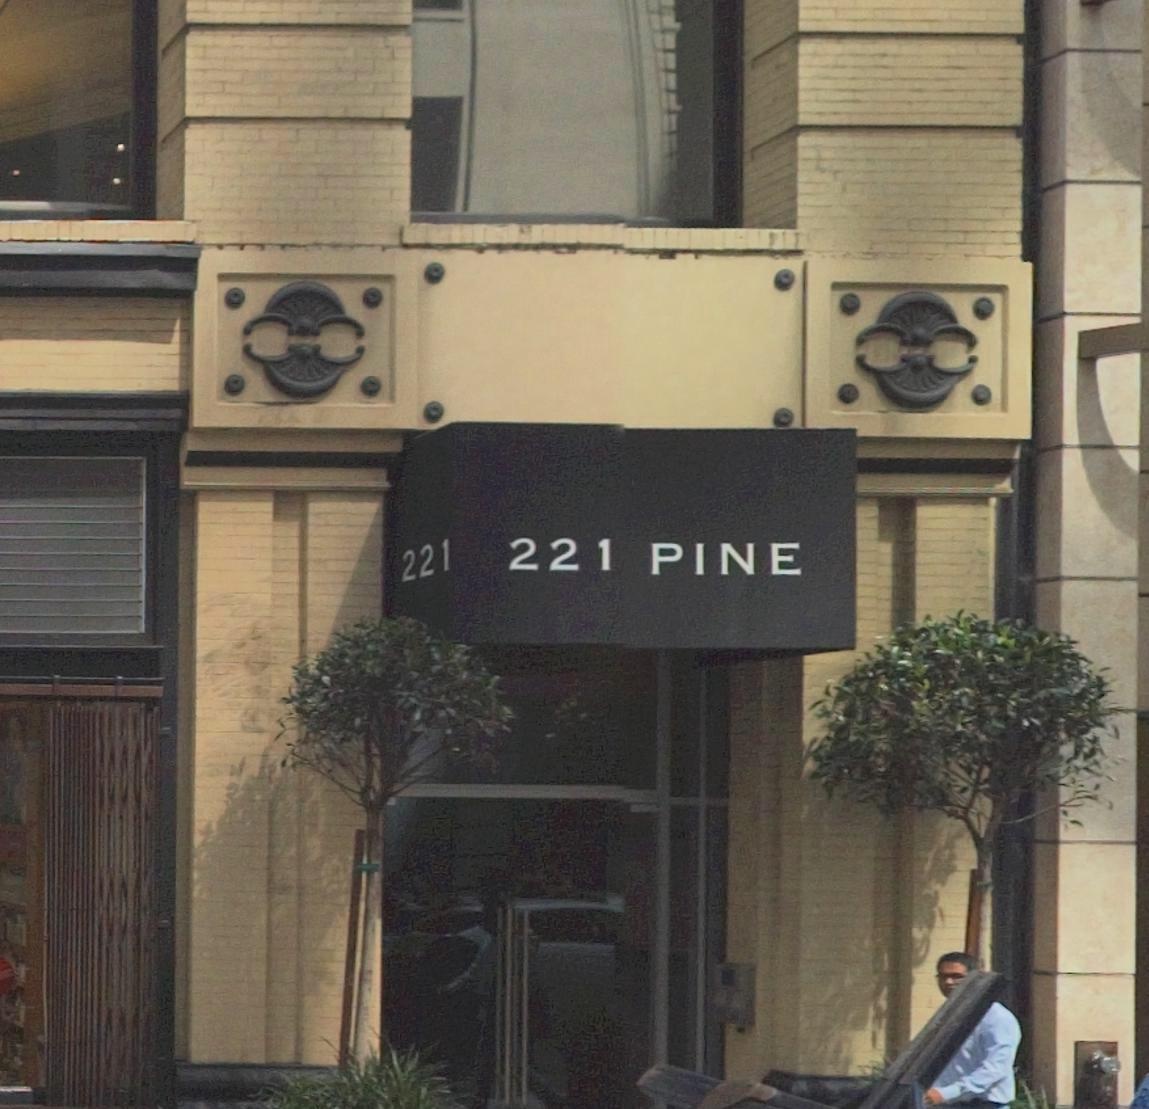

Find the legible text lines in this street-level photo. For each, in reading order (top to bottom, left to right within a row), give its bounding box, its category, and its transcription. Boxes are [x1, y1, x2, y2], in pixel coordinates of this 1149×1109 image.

[398, 534, 455, 586] StreetNumber: 221
[501, 533, 615, 576] StreetNumber: 221
[647, 537, 804, 580] StreetName: PINE